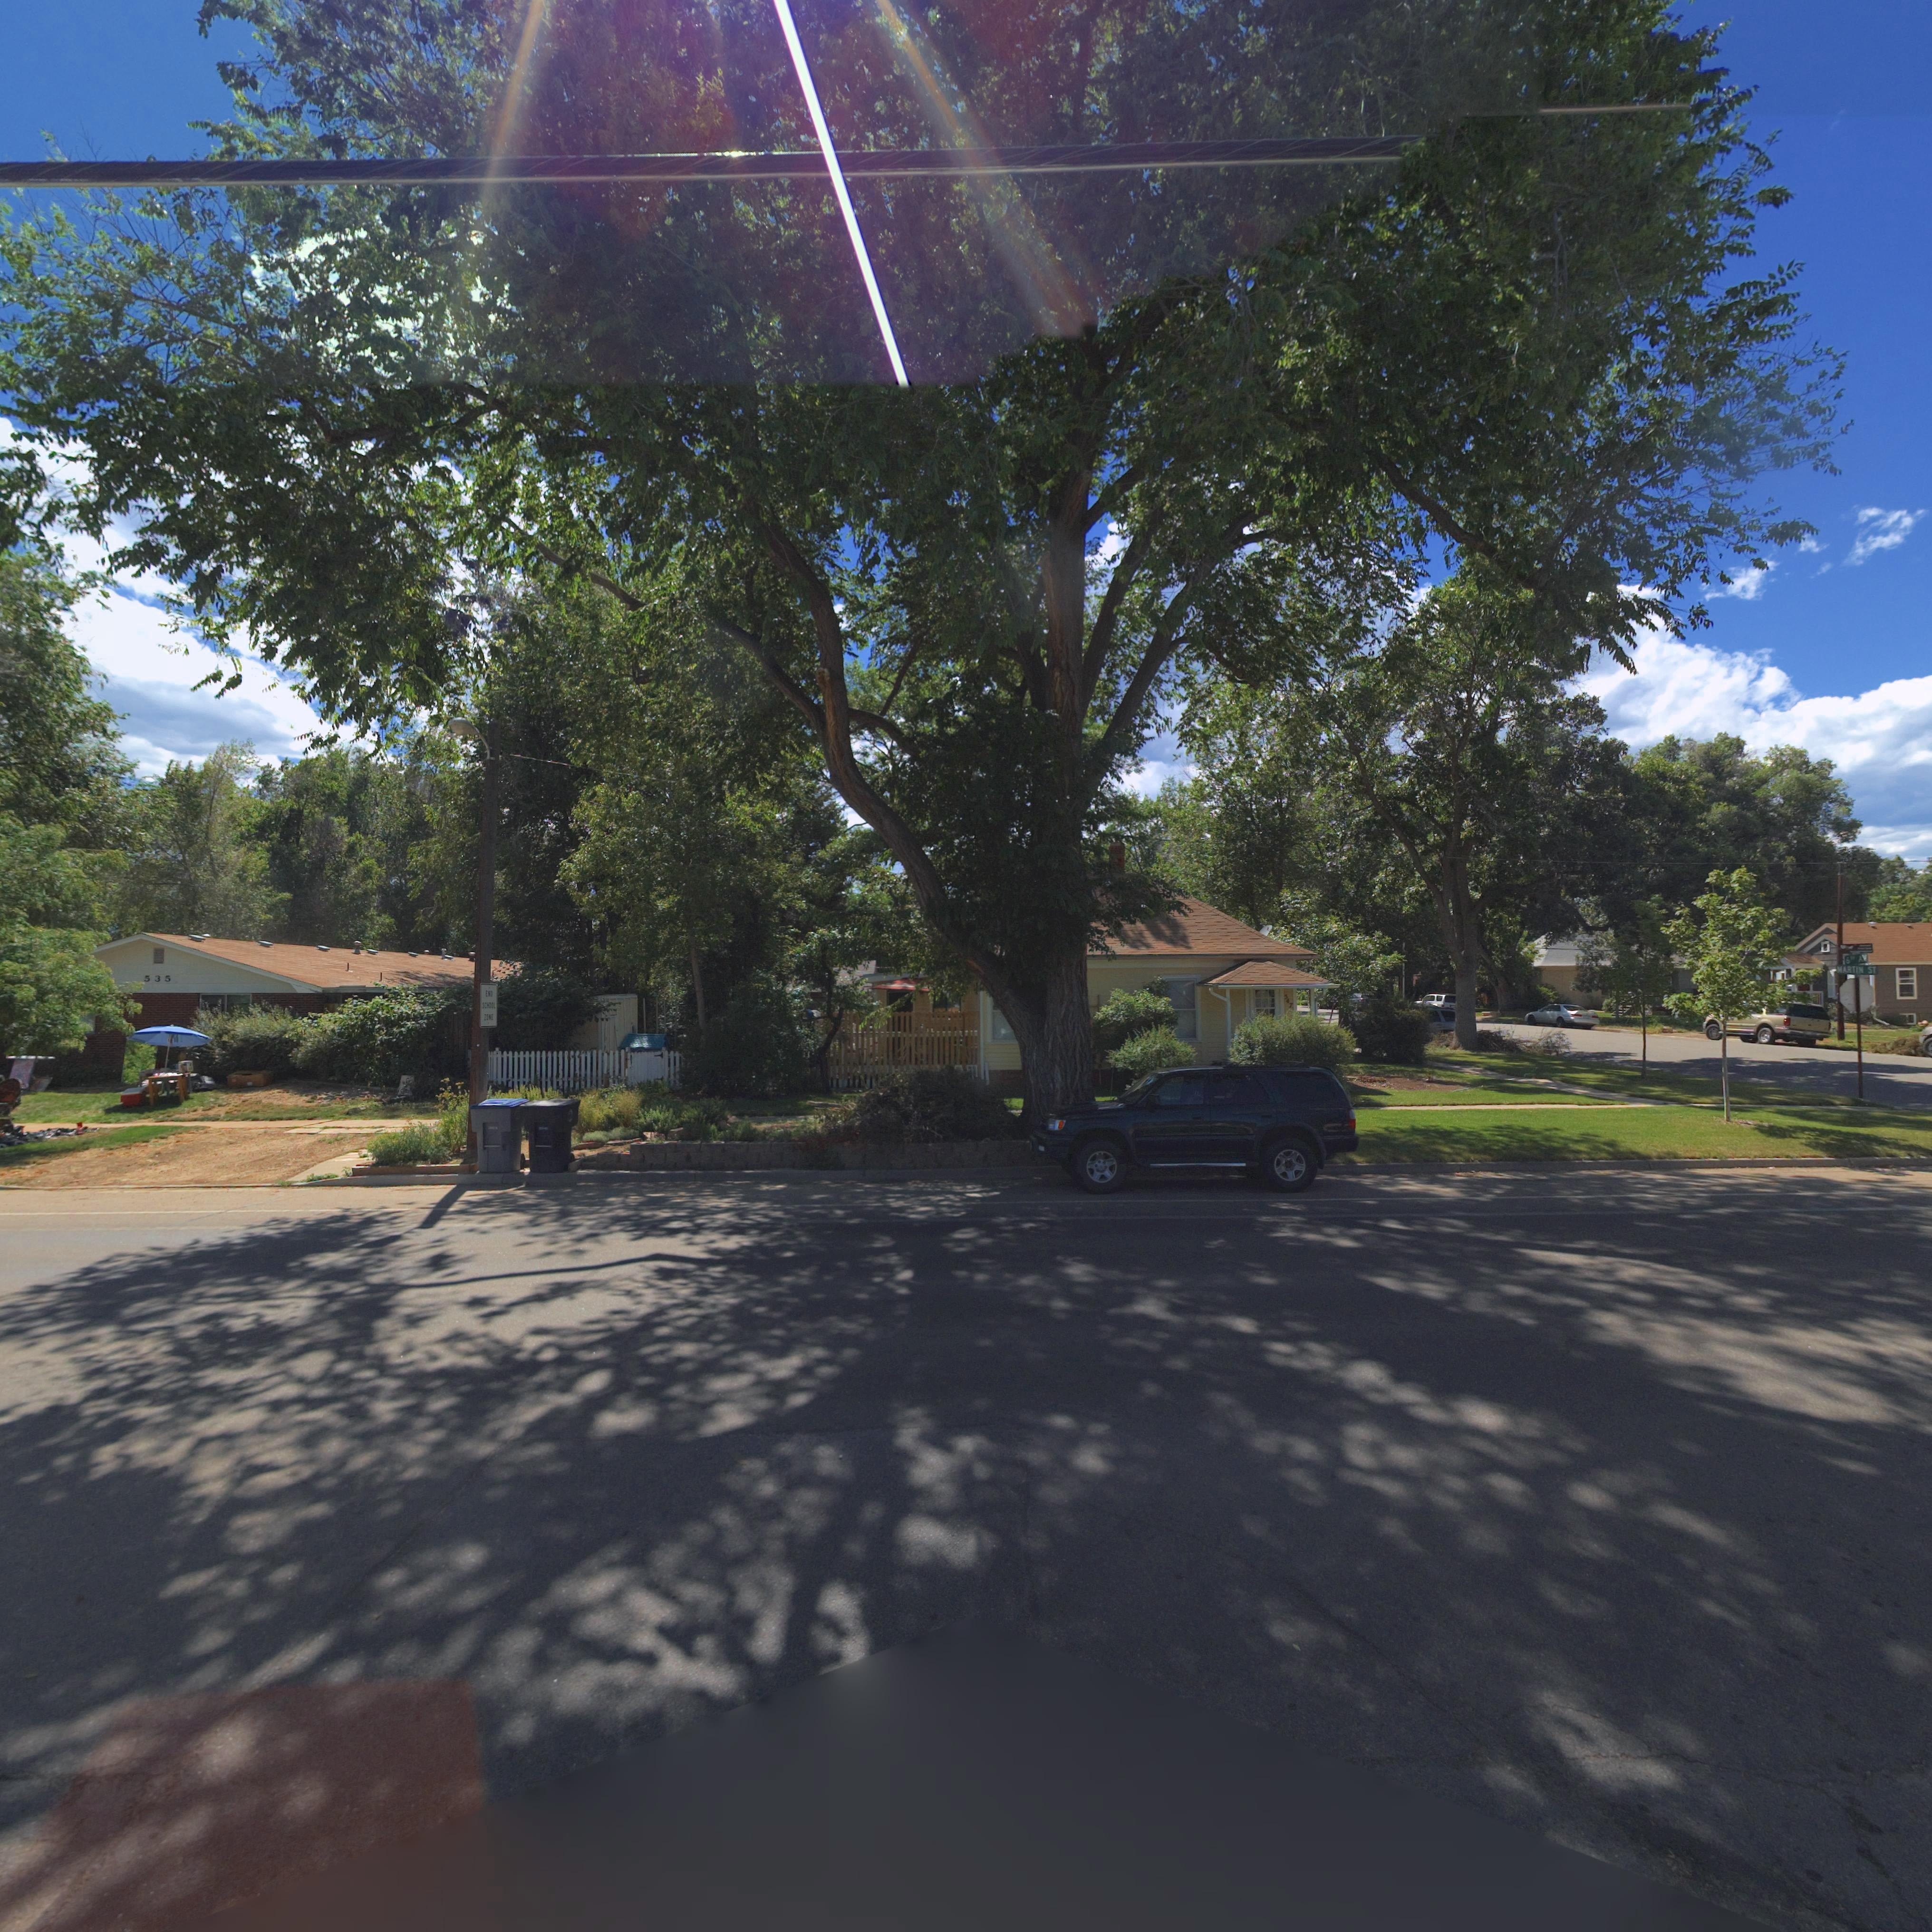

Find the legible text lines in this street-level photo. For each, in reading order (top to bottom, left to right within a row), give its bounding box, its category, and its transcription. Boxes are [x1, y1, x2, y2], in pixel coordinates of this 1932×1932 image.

[1845, 954, 1867, 964] StreetName: 6TH AV
[1836, 966, 1877, 974] StreetName: MARTIN ST
[143, 975, 171, 983] StreetNumber: 535
[1284, 993, 1293, 1008] StreetNumber: 347